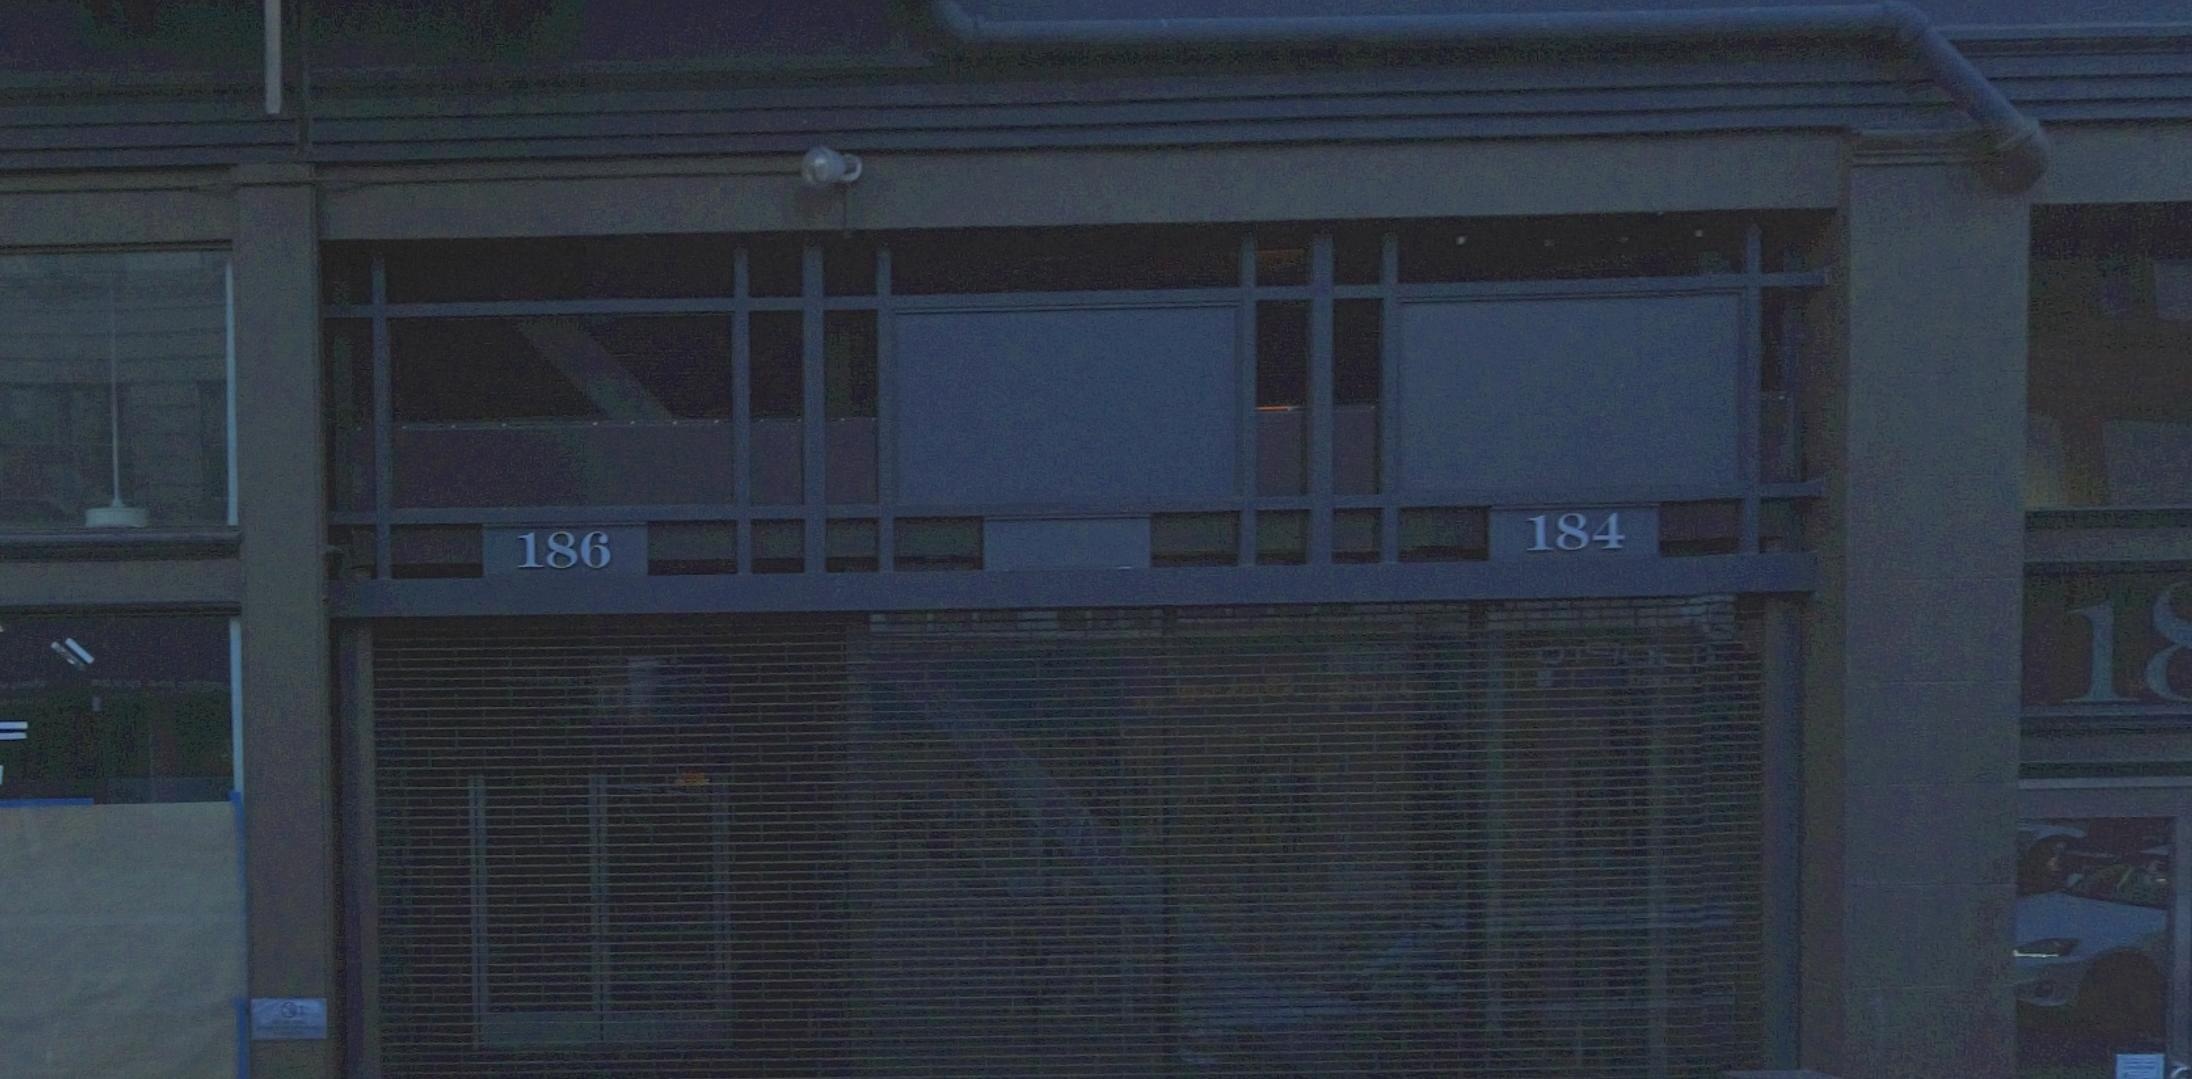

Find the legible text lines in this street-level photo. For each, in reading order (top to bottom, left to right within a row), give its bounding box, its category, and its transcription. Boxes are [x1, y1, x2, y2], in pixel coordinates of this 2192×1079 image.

[515, 529, 613, 570] StreetNumber: 186
[1524, 511, 1628, 553] StreetNumber: 184
[2053, 594, 2144, 705] StreetNumber: 1